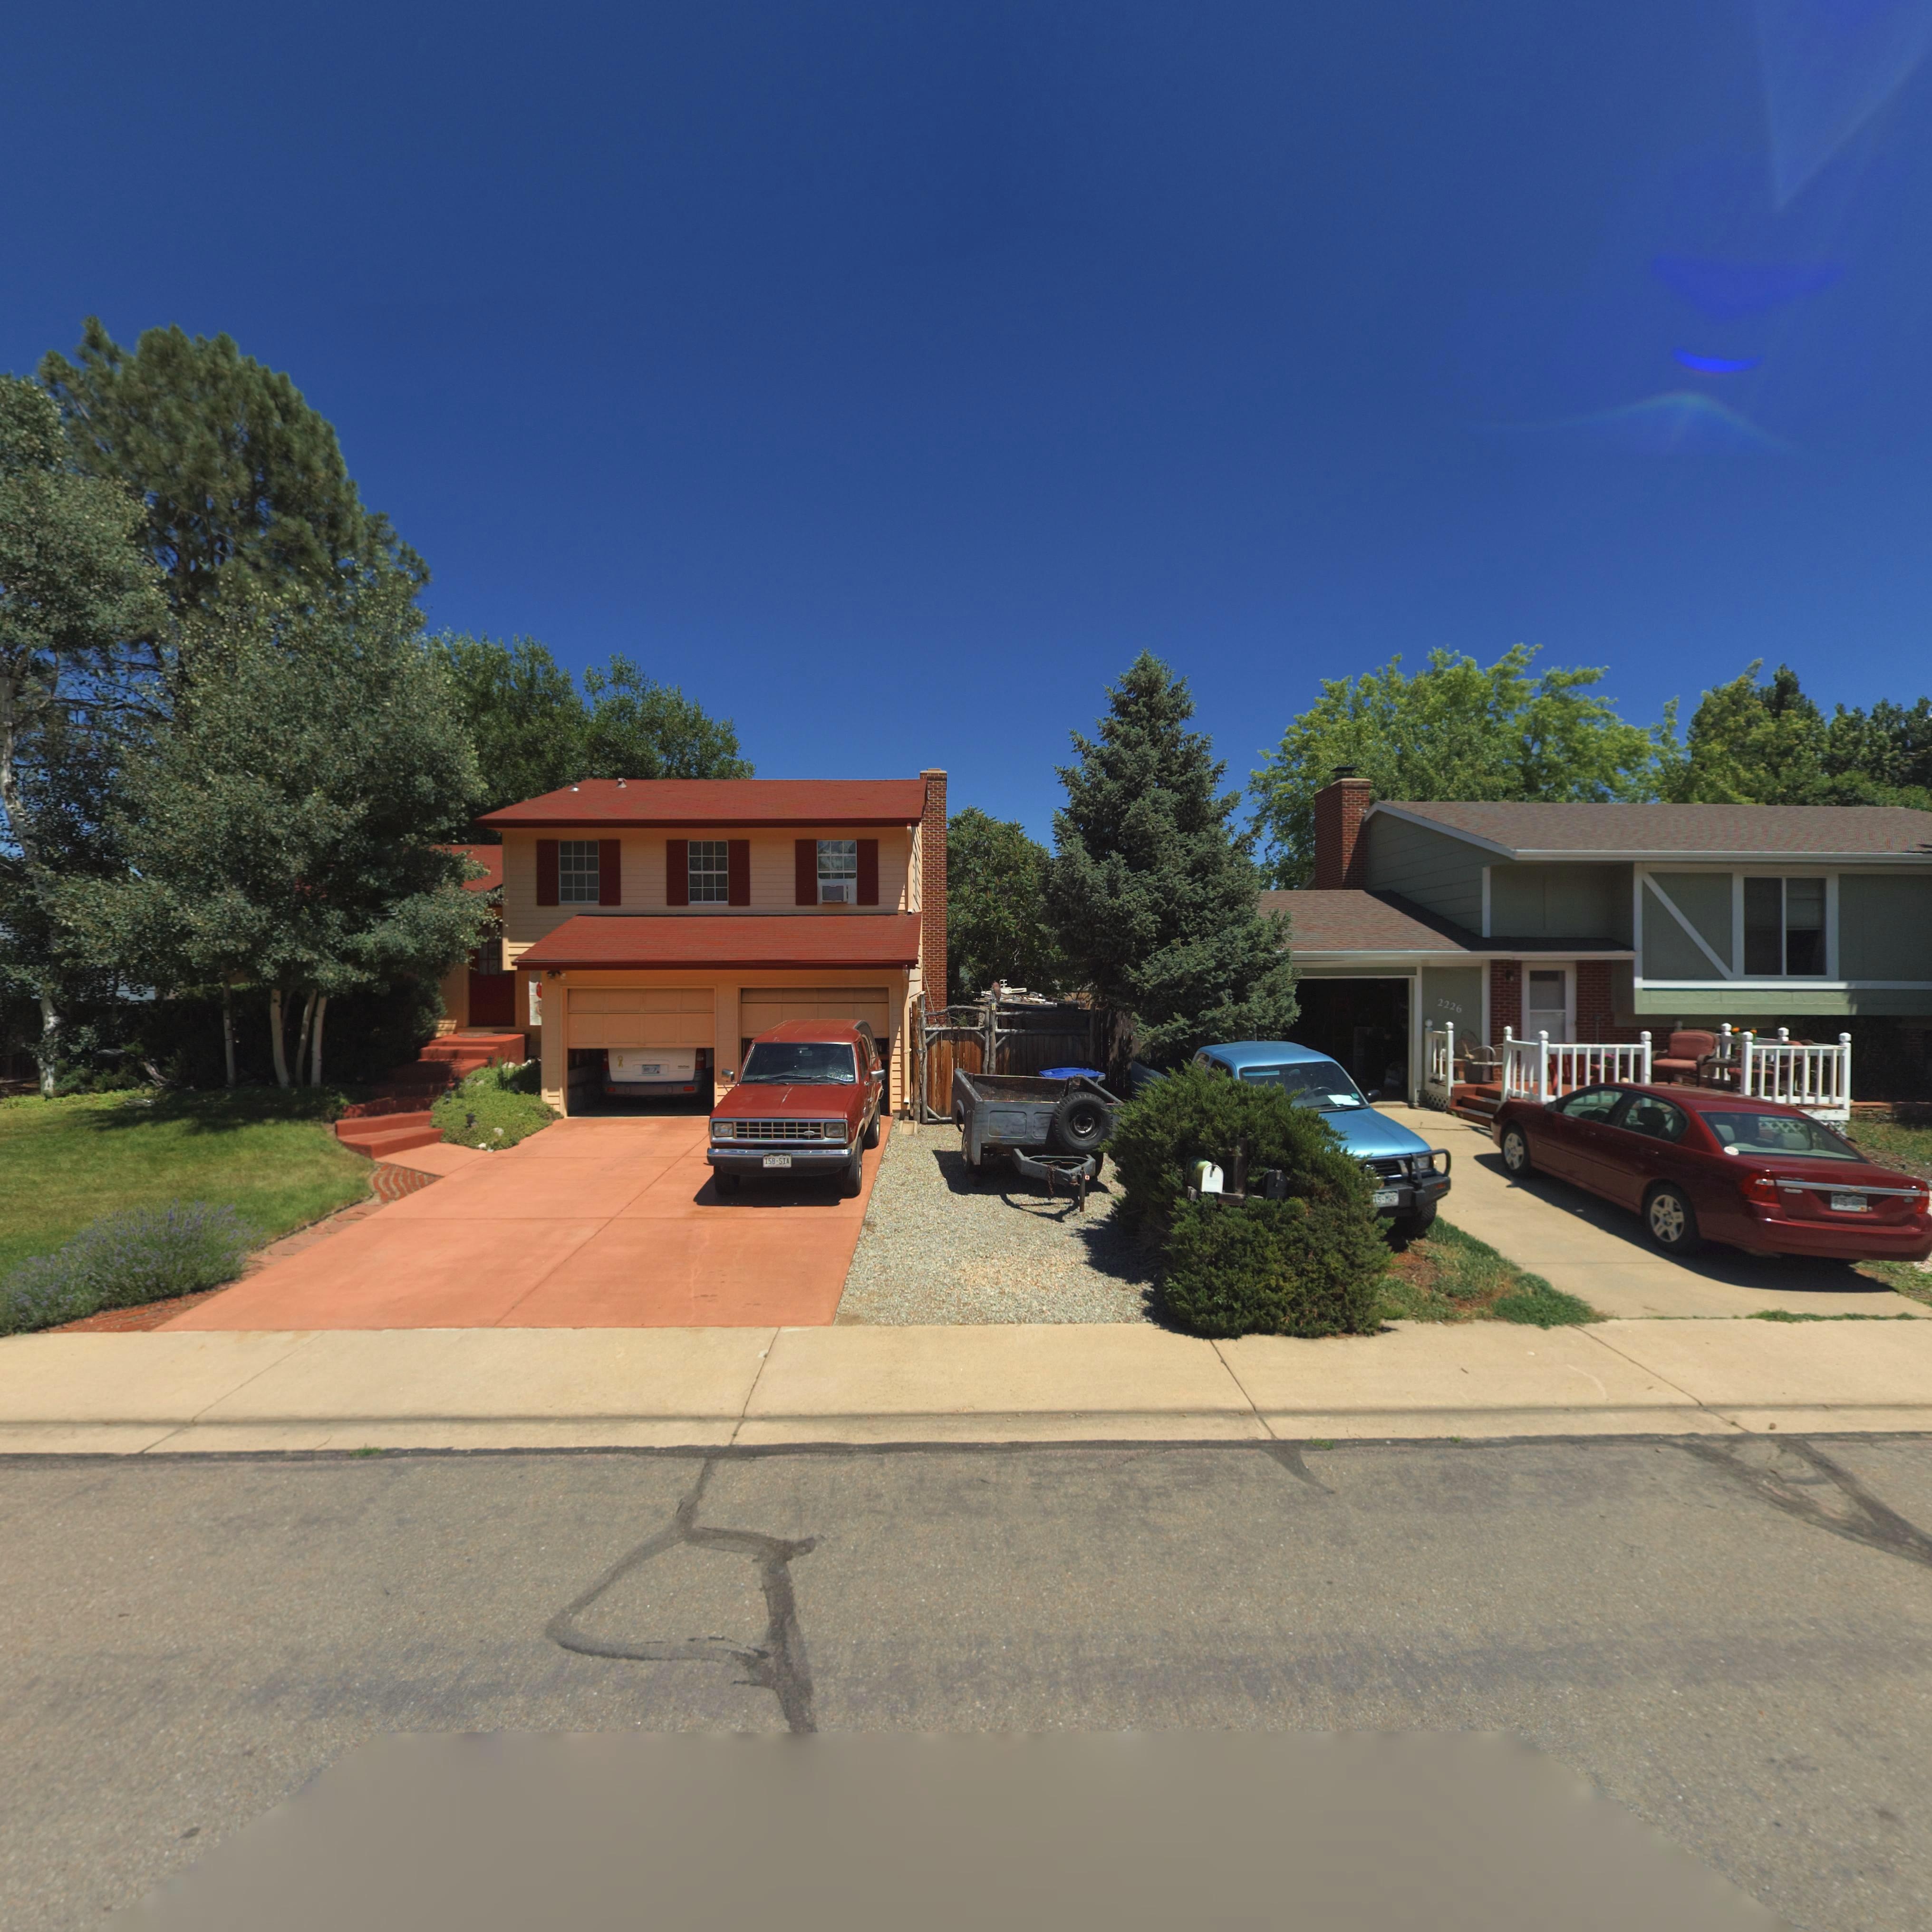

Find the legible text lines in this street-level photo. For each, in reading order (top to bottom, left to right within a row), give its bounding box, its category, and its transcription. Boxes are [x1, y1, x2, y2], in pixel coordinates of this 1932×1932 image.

[1437, 997, 1462, 1014] StreetNumber: 2226